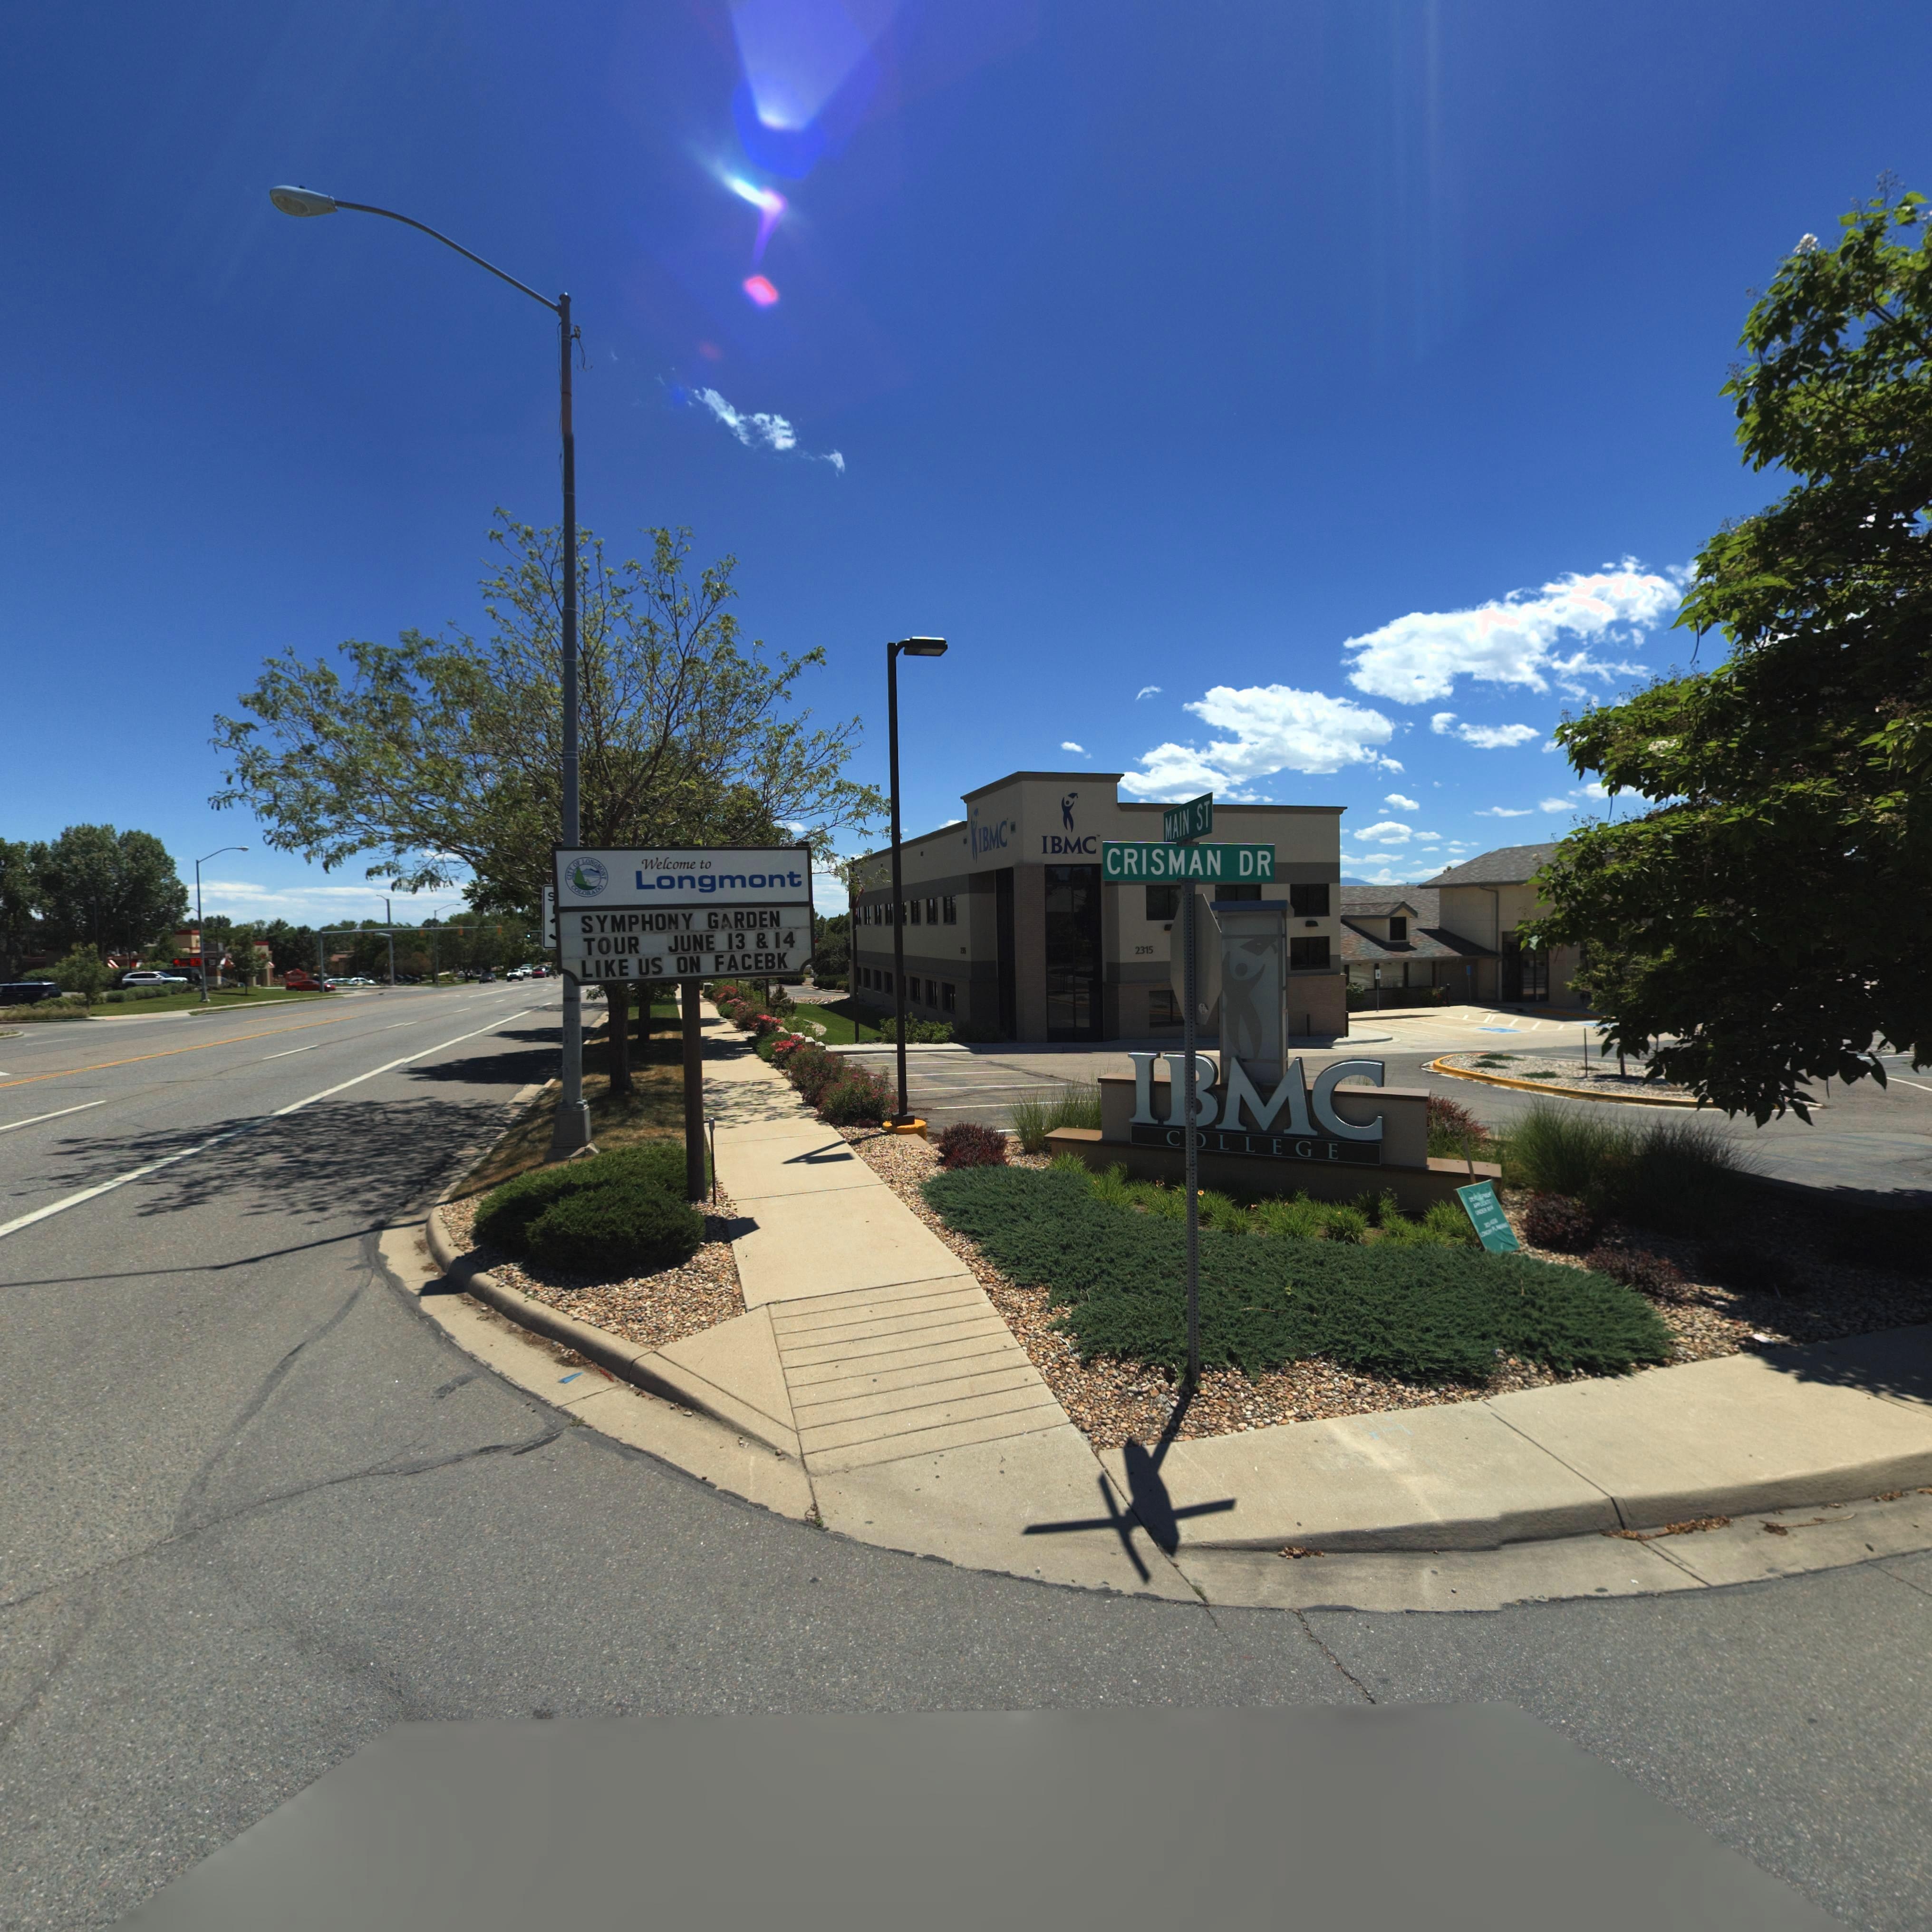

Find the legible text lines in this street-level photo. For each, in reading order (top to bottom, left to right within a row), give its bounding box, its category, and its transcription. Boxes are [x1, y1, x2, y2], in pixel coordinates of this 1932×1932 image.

[1165, 800, 1210, 841] StreetName: MAIN ST
[977, 819, 1008, 853] BusinessName: IBMC
[1041, 835, 1096, 854] BusinessName: IBMC
[1106, 847, 1271, 876] StreetName: CRISMAN DR
[1135, 946, 1153, 954] StreetNumber: 2315
[1127, 1052, 1384, 1142] BusinessName: I*MC
[1166, 1130, 1338, 1160] BusinessName: C*LLEGE